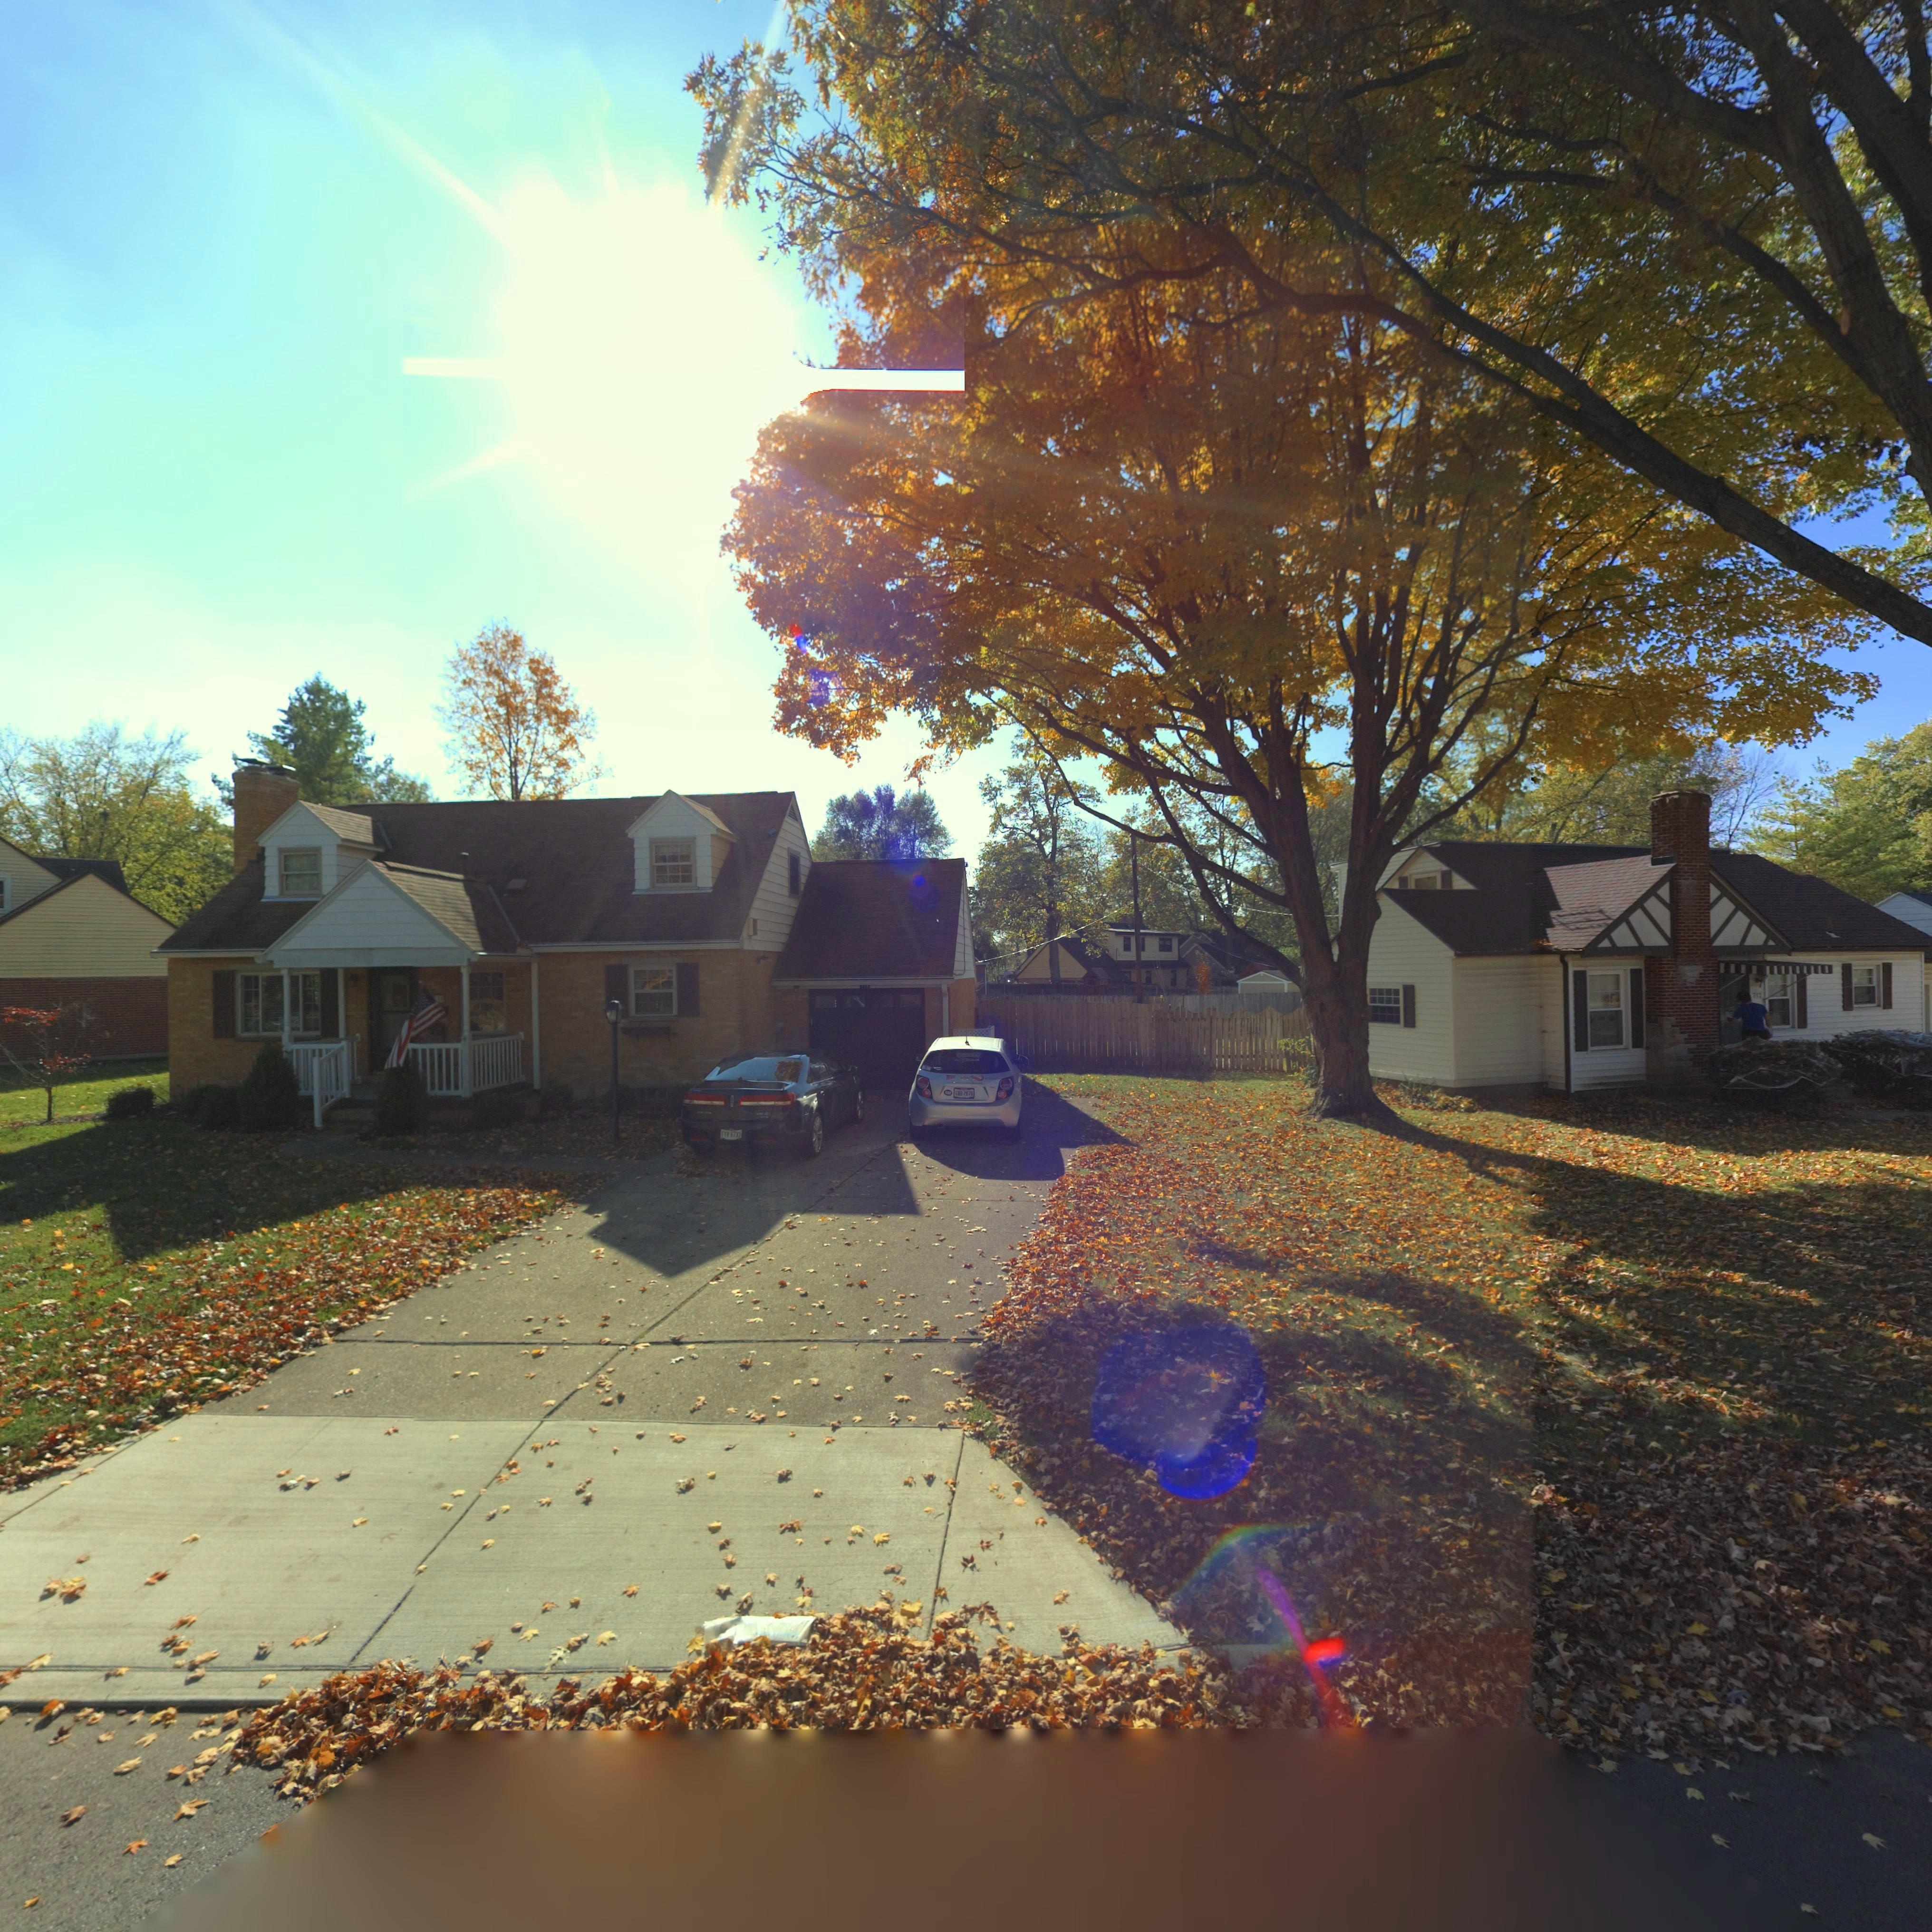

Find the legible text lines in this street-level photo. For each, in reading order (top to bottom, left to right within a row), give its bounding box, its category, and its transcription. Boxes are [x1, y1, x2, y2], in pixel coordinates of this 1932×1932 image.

[1751, 992, 1762, 999] StreetNumber: 71*